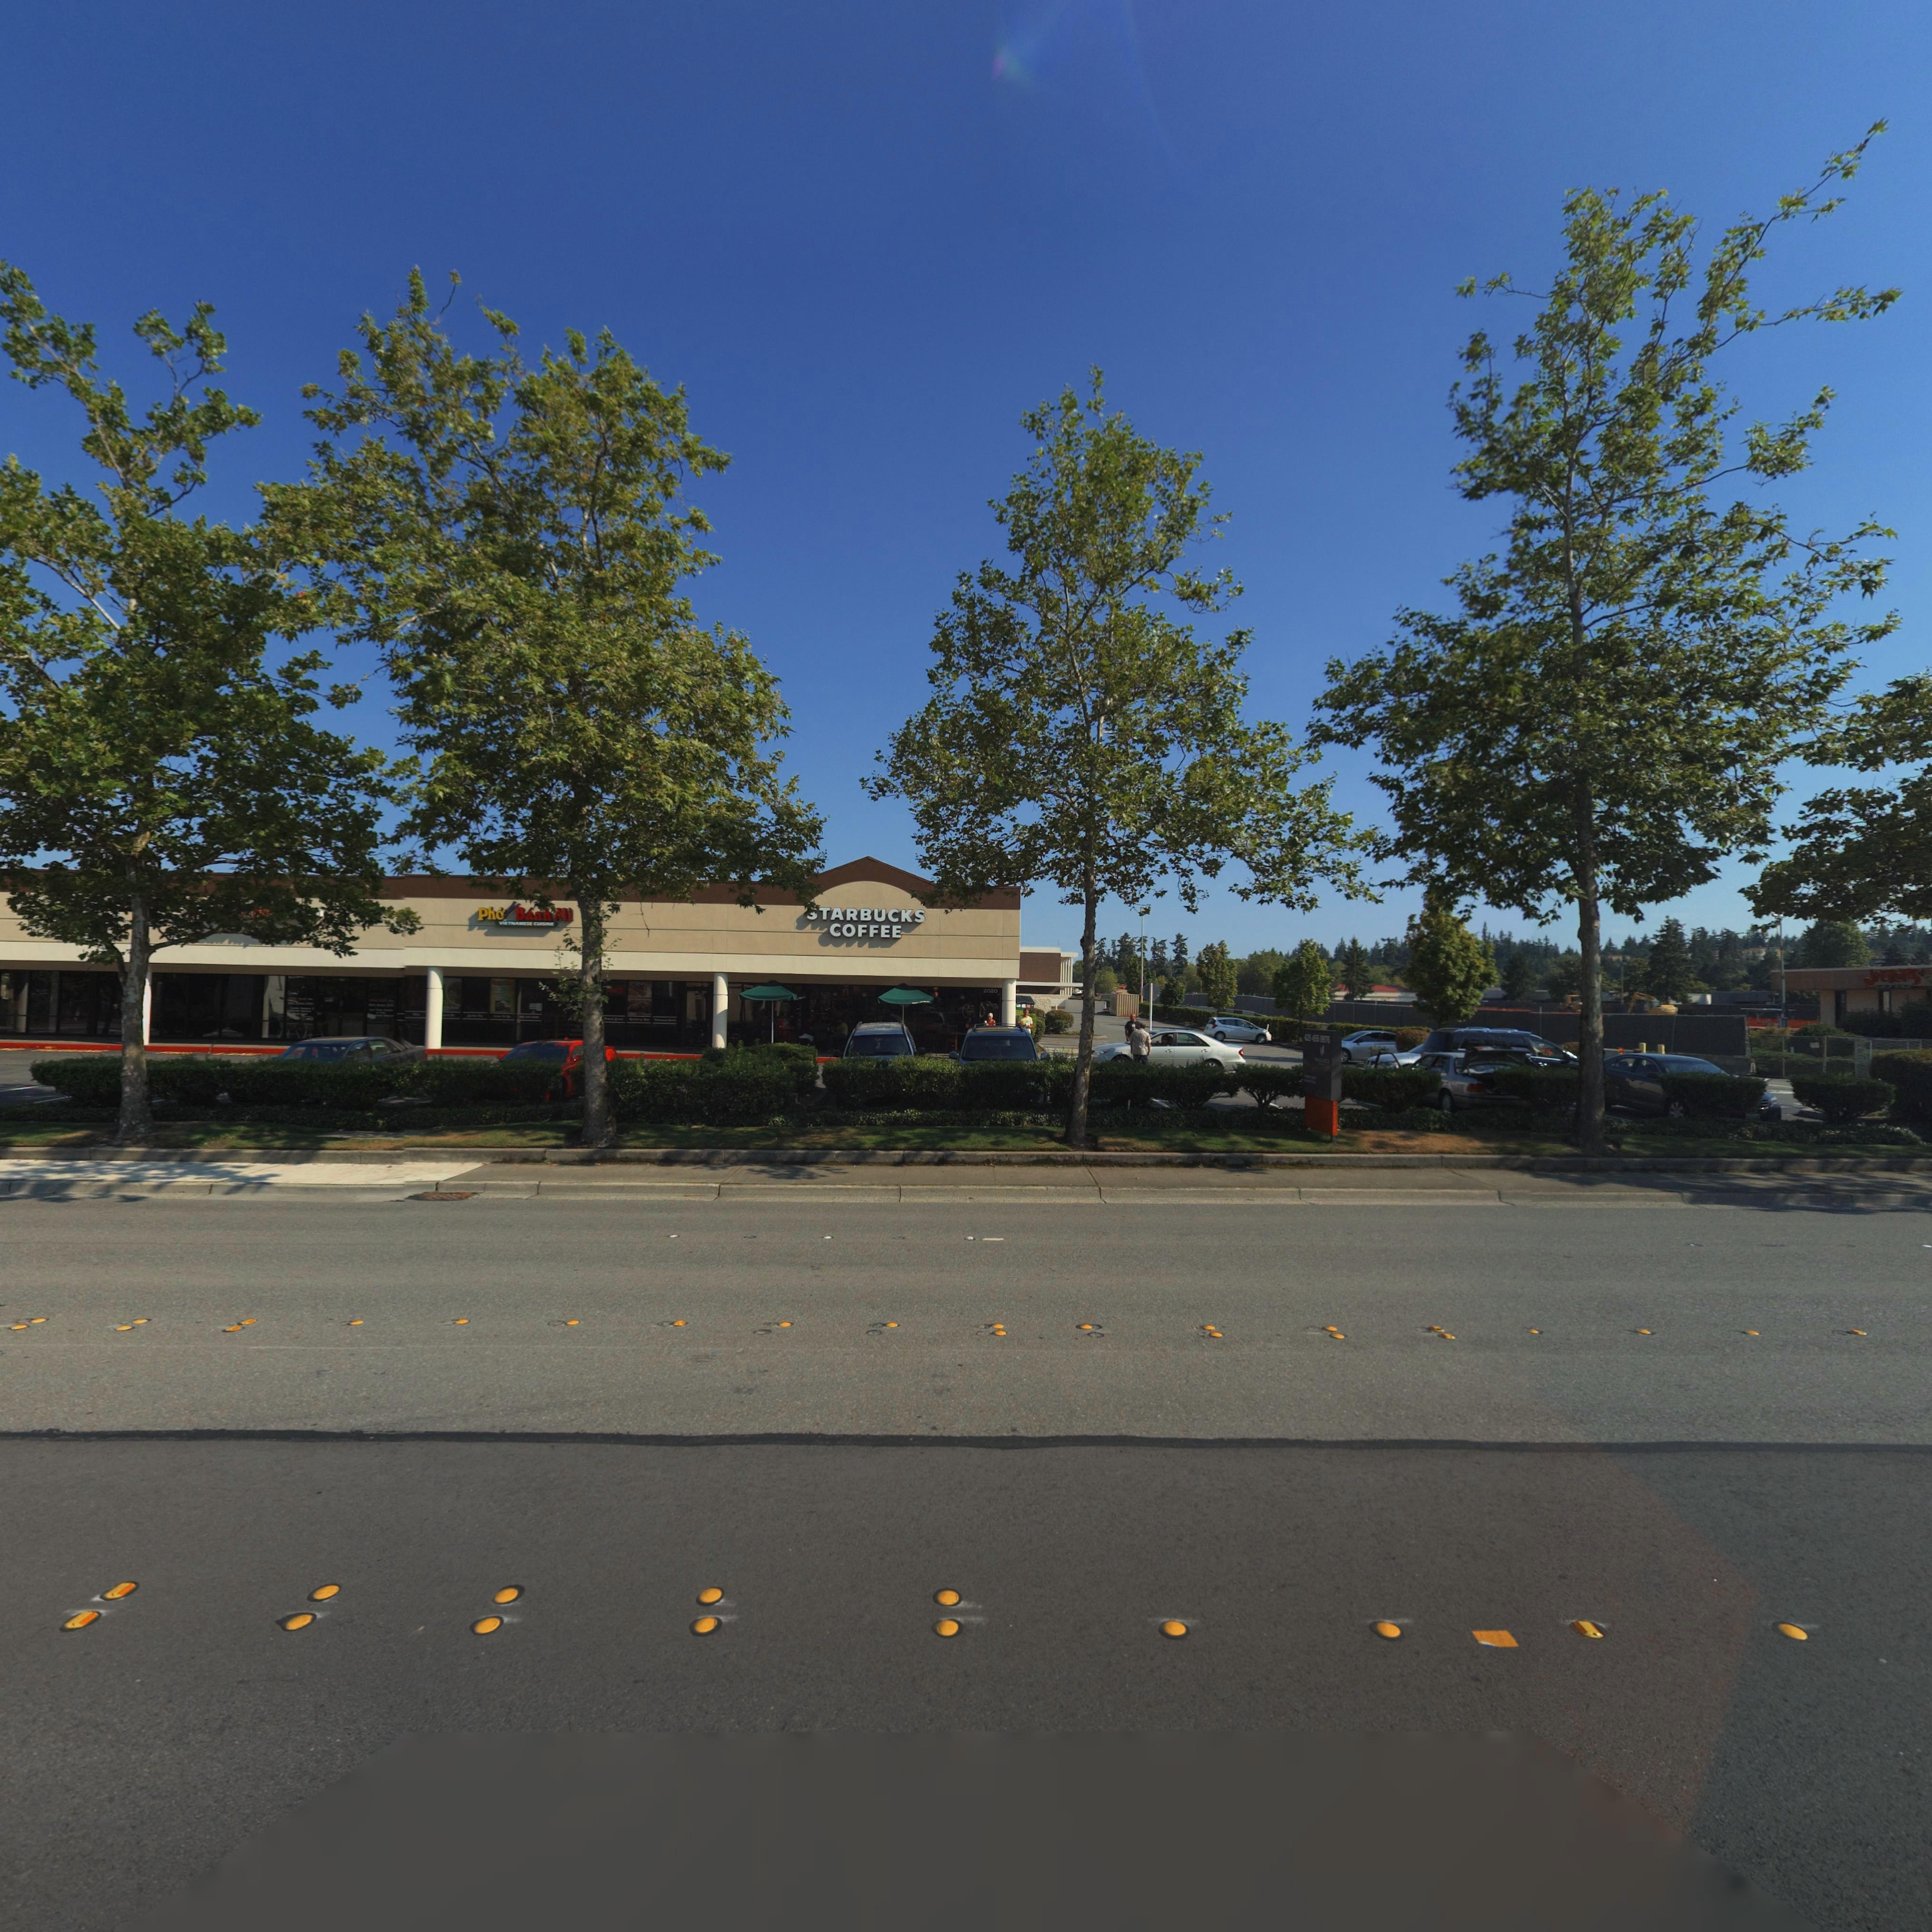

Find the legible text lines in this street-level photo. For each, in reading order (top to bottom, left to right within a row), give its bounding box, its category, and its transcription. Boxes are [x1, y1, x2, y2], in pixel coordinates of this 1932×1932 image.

[477, 906, 573, 921] BusinessName: Ph* Banh Mi
[820, 908, 924, 922] BusinessName: TARBUCKS
[498, 921, 554, 926] BusinessName: VIETNAMESE CUISINE
[830, 923, 901, 937] BusinessName: COFFEE